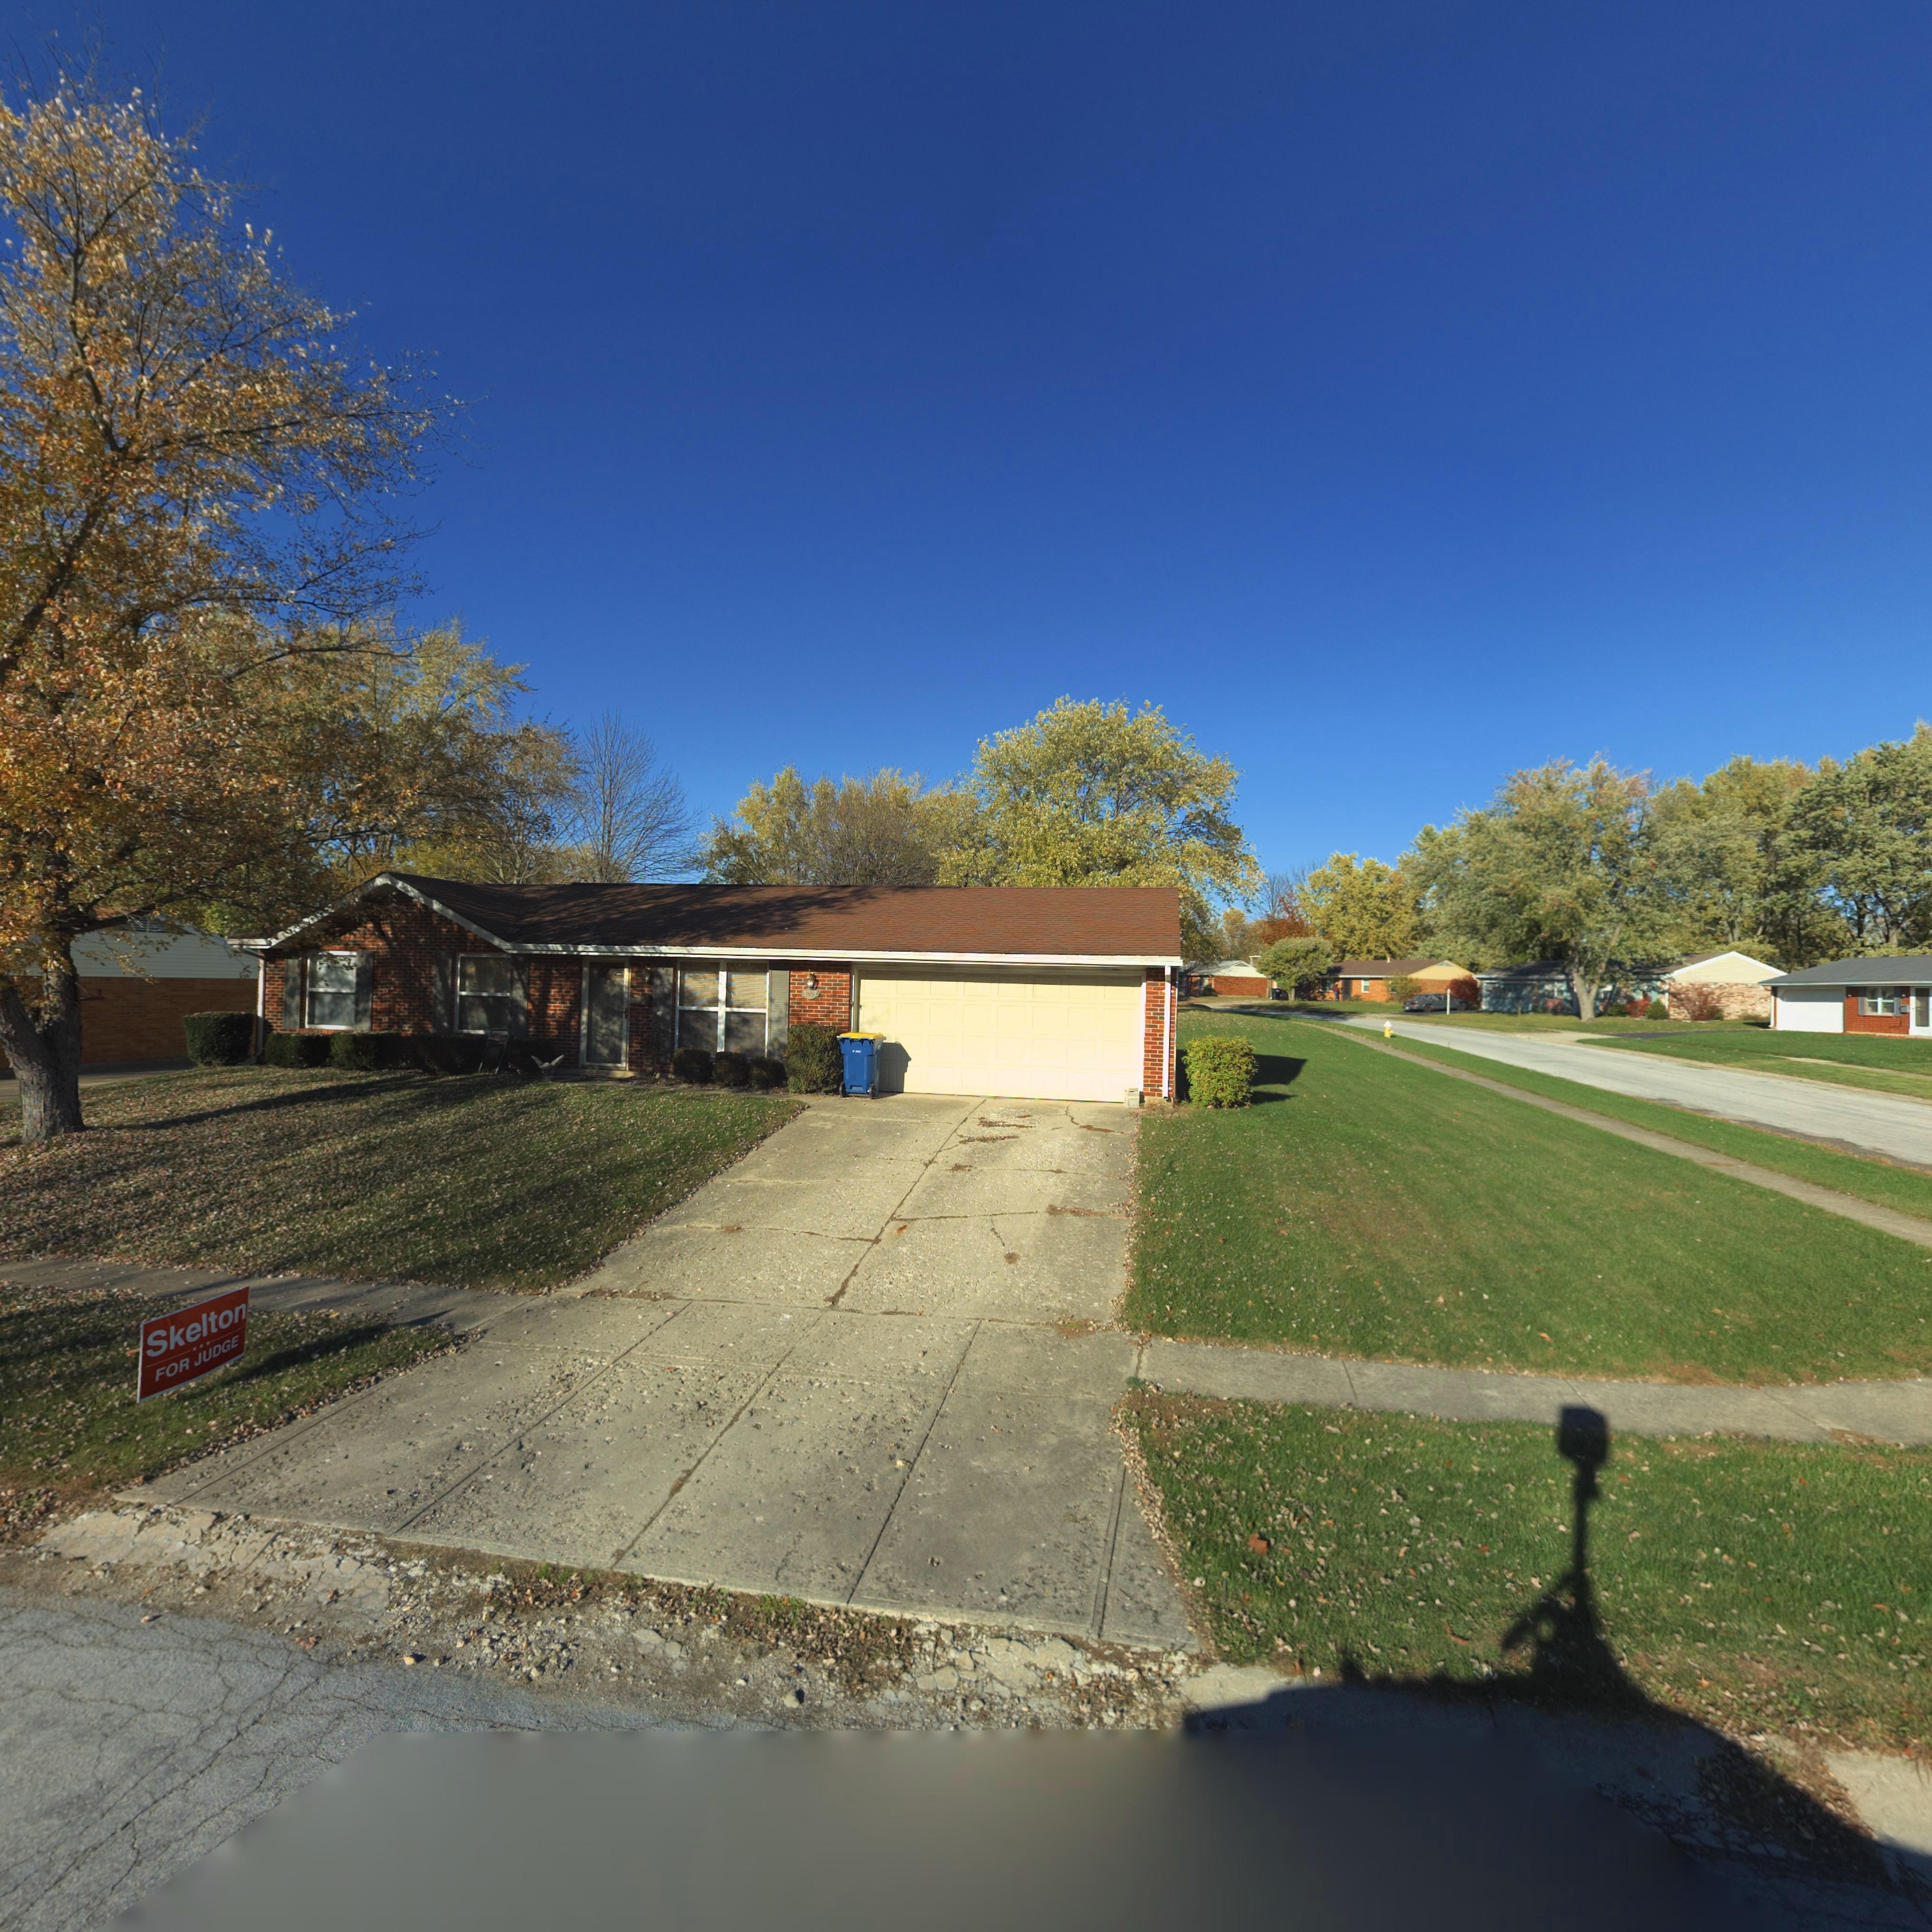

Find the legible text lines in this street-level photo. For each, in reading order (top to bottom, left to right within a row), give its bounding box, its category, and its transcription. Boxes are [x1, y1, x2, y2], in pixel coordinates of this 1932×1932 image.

[802, 990, 817, 996] StreetNumber: 5005